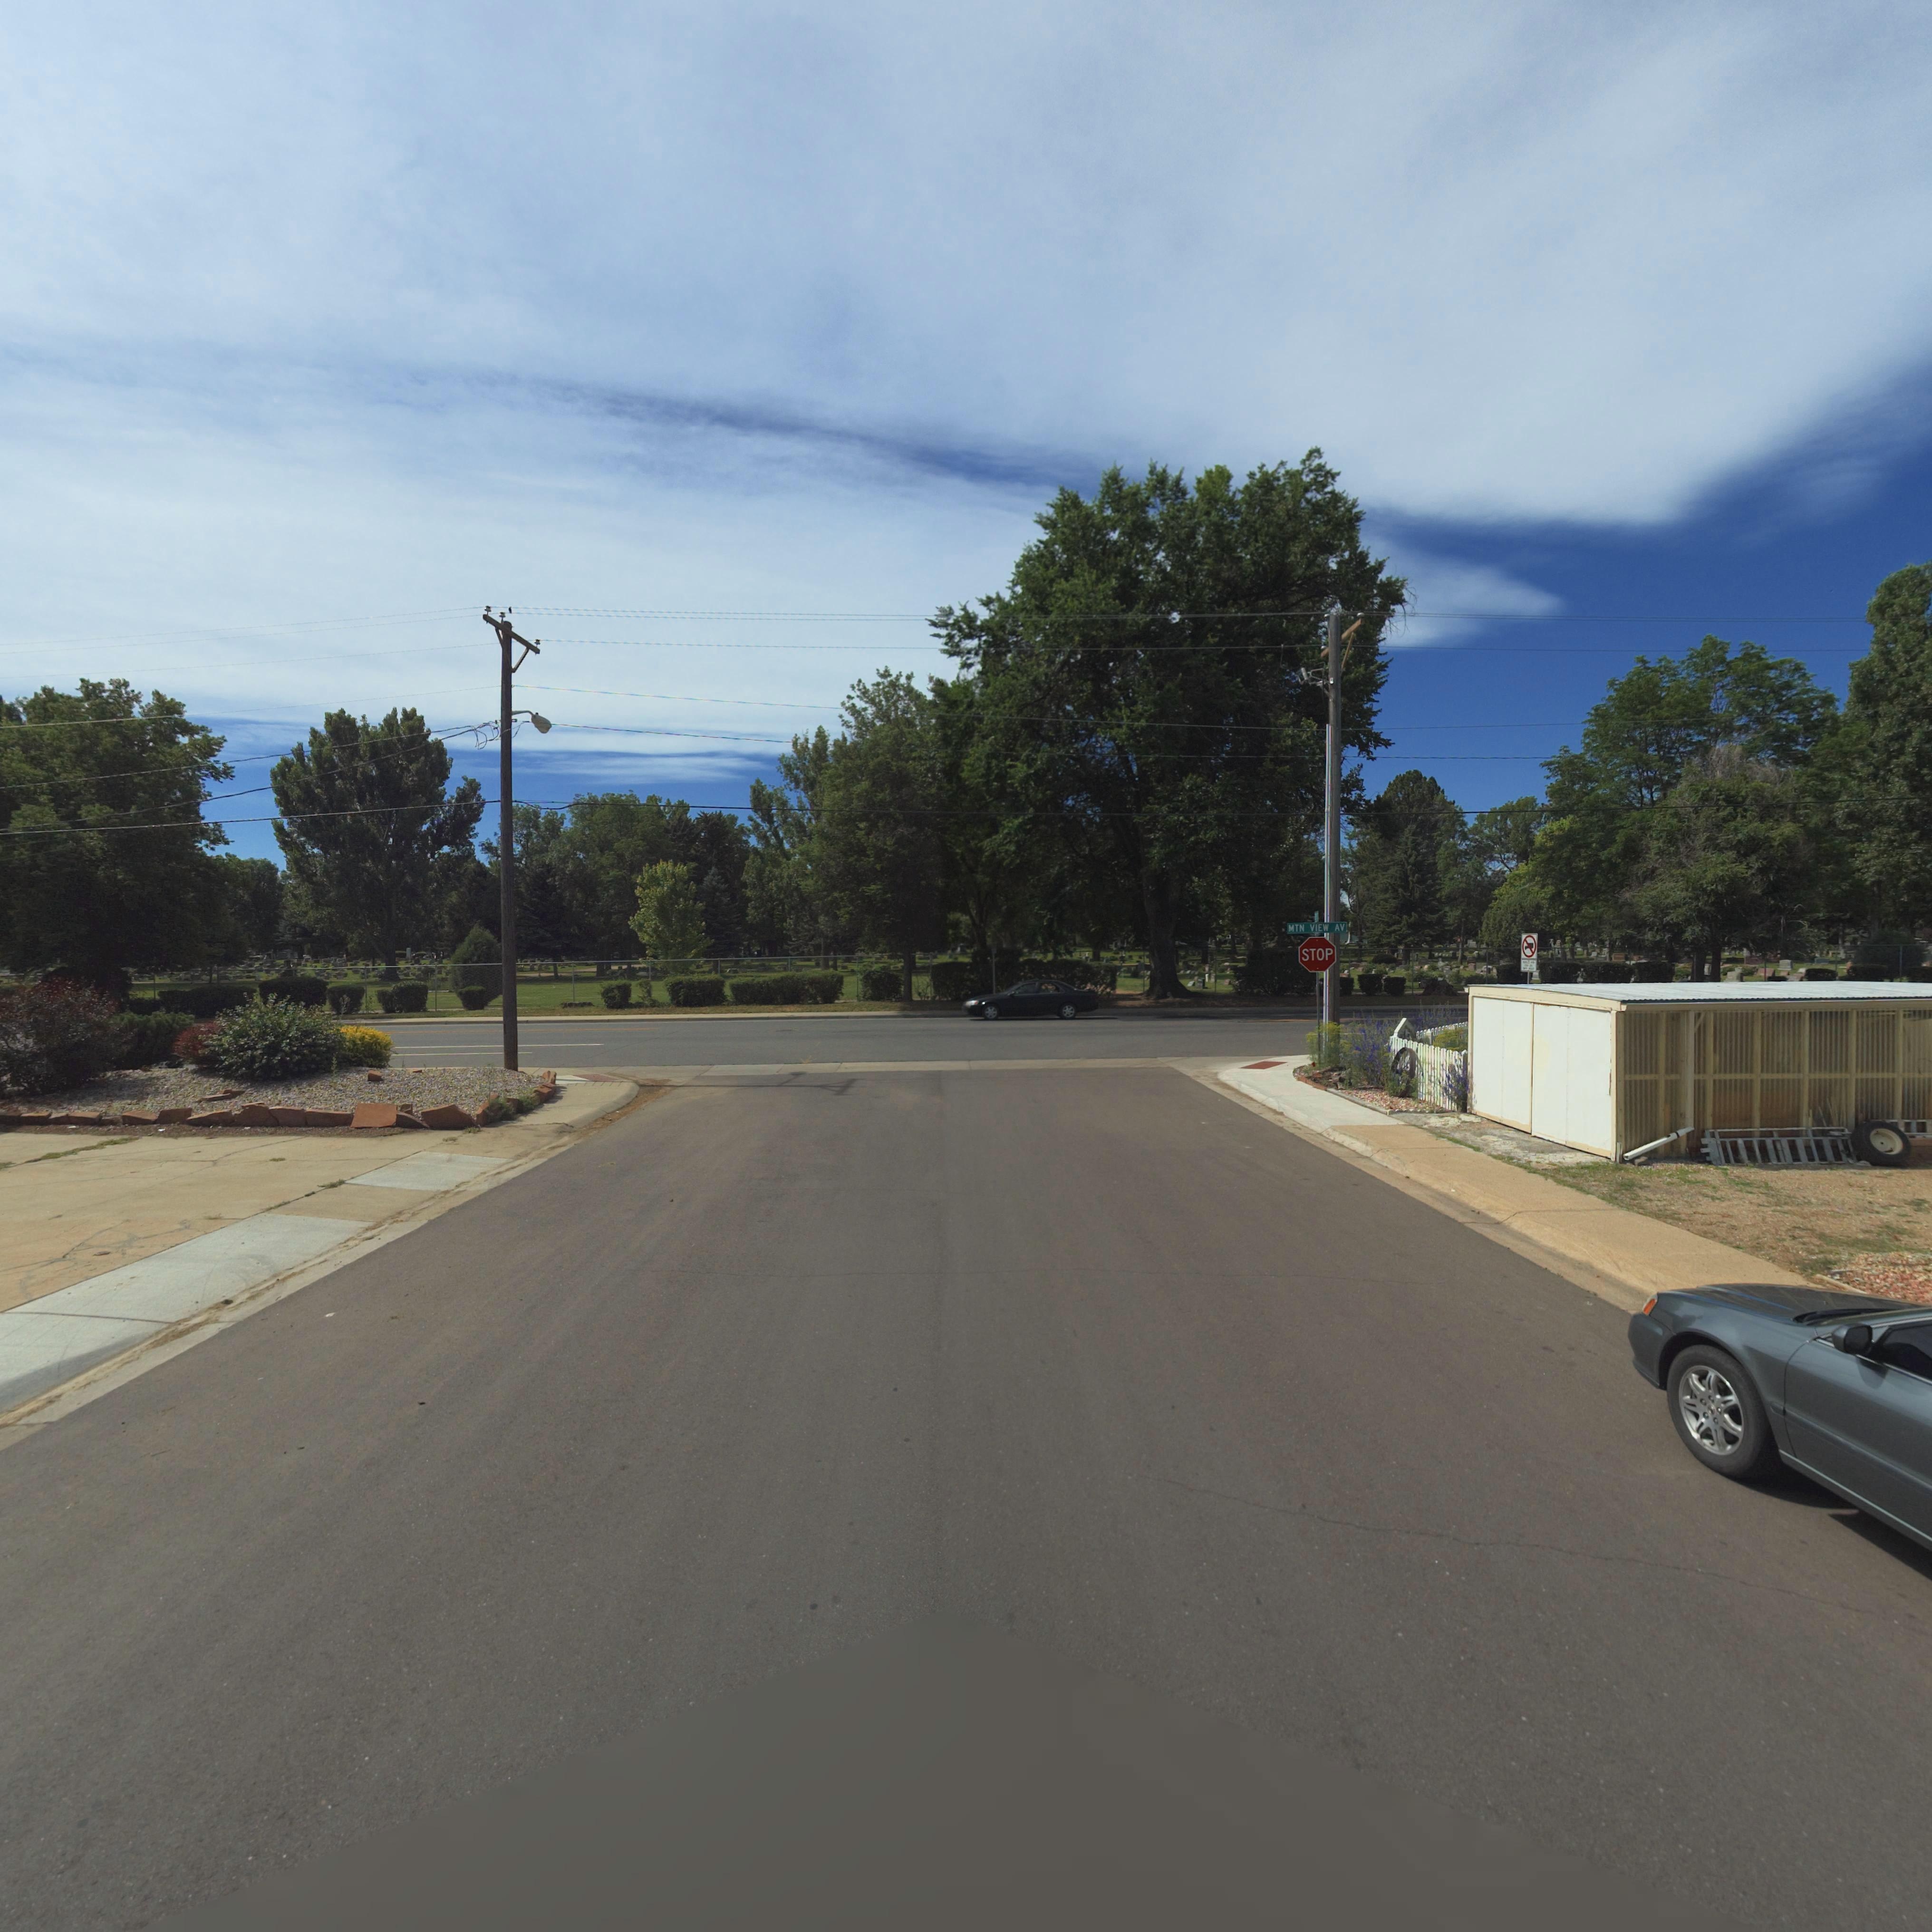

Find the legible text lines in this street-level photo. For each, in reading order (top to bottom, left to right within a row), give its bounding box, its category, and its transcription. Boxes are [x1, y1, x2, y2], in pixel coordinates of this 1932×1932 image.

[1288, 923, 1345, 932] StreetName: MTN VIEW AV